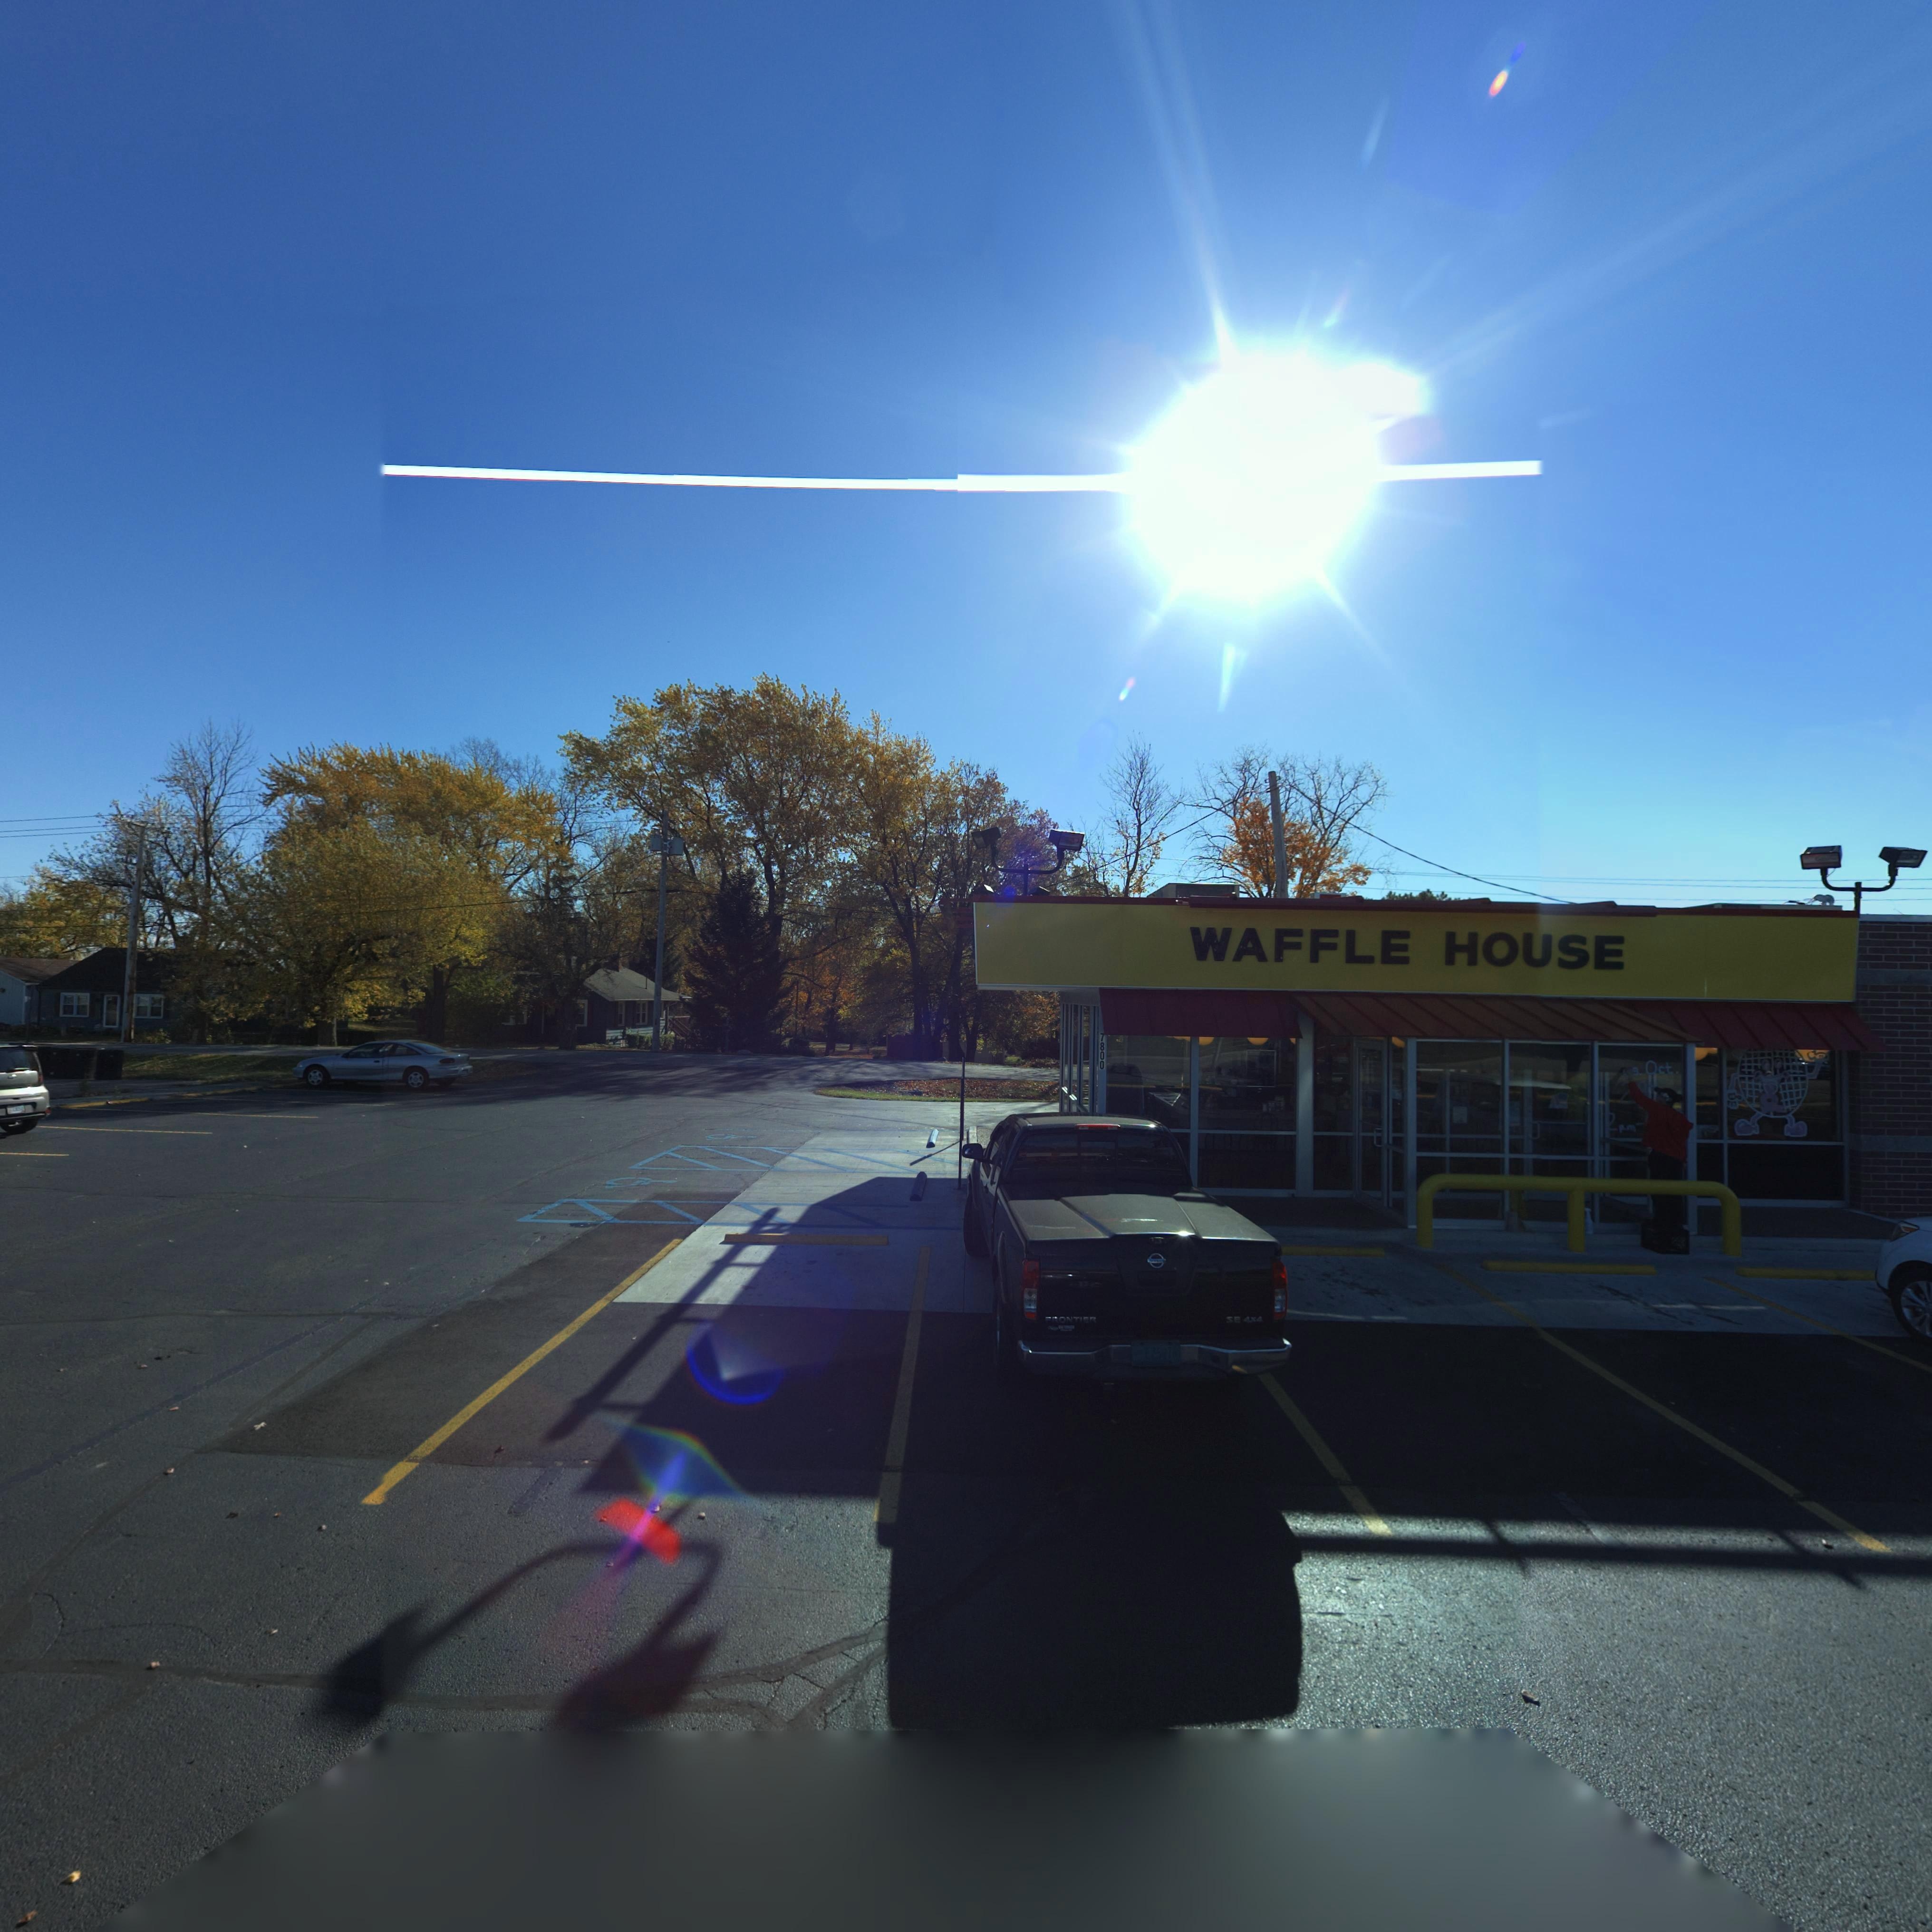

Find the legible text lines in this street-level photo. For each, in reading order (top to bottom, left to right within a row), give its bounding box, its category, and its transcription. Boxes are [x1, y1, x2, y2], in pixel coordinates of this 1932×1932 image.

[1099, 1033, 1105, 1070] StreetNumber: 7800